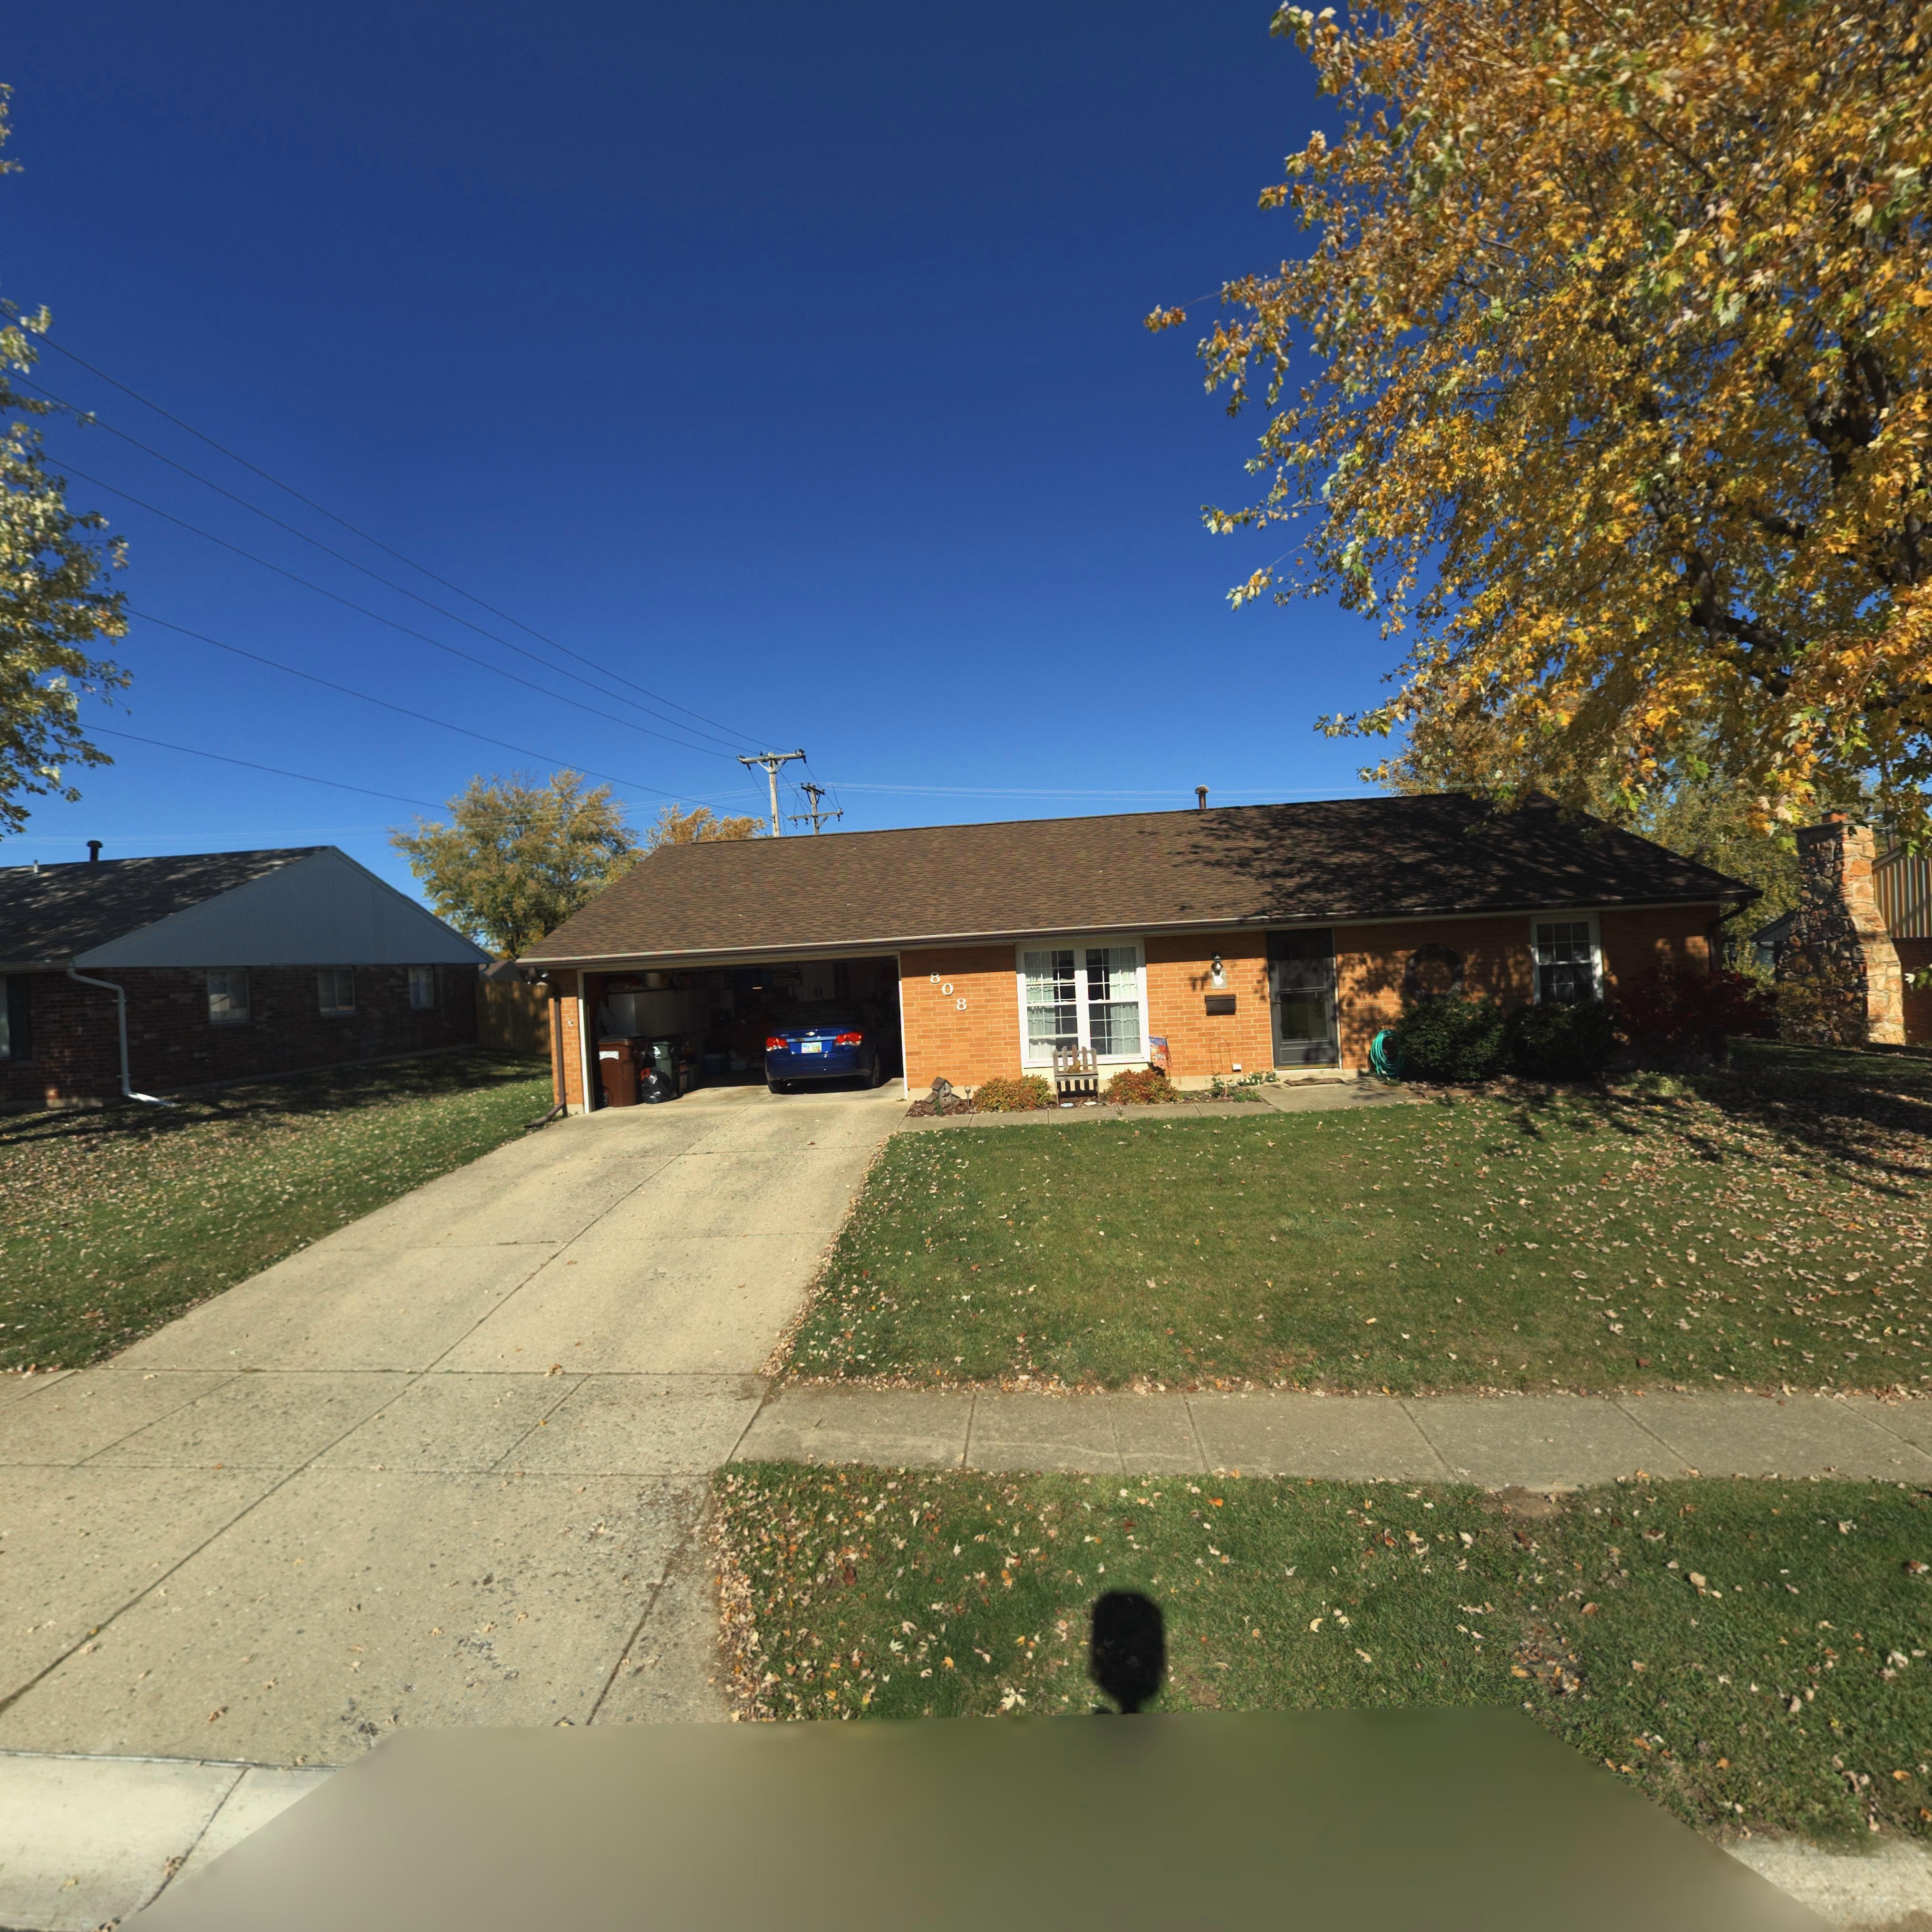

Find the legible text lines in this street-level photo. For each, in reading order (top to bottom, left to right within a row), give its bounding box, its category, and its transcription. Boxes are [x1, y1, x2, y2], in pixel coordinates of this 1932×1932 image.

[929, 971, 967, 1011] StreetNumber: 808